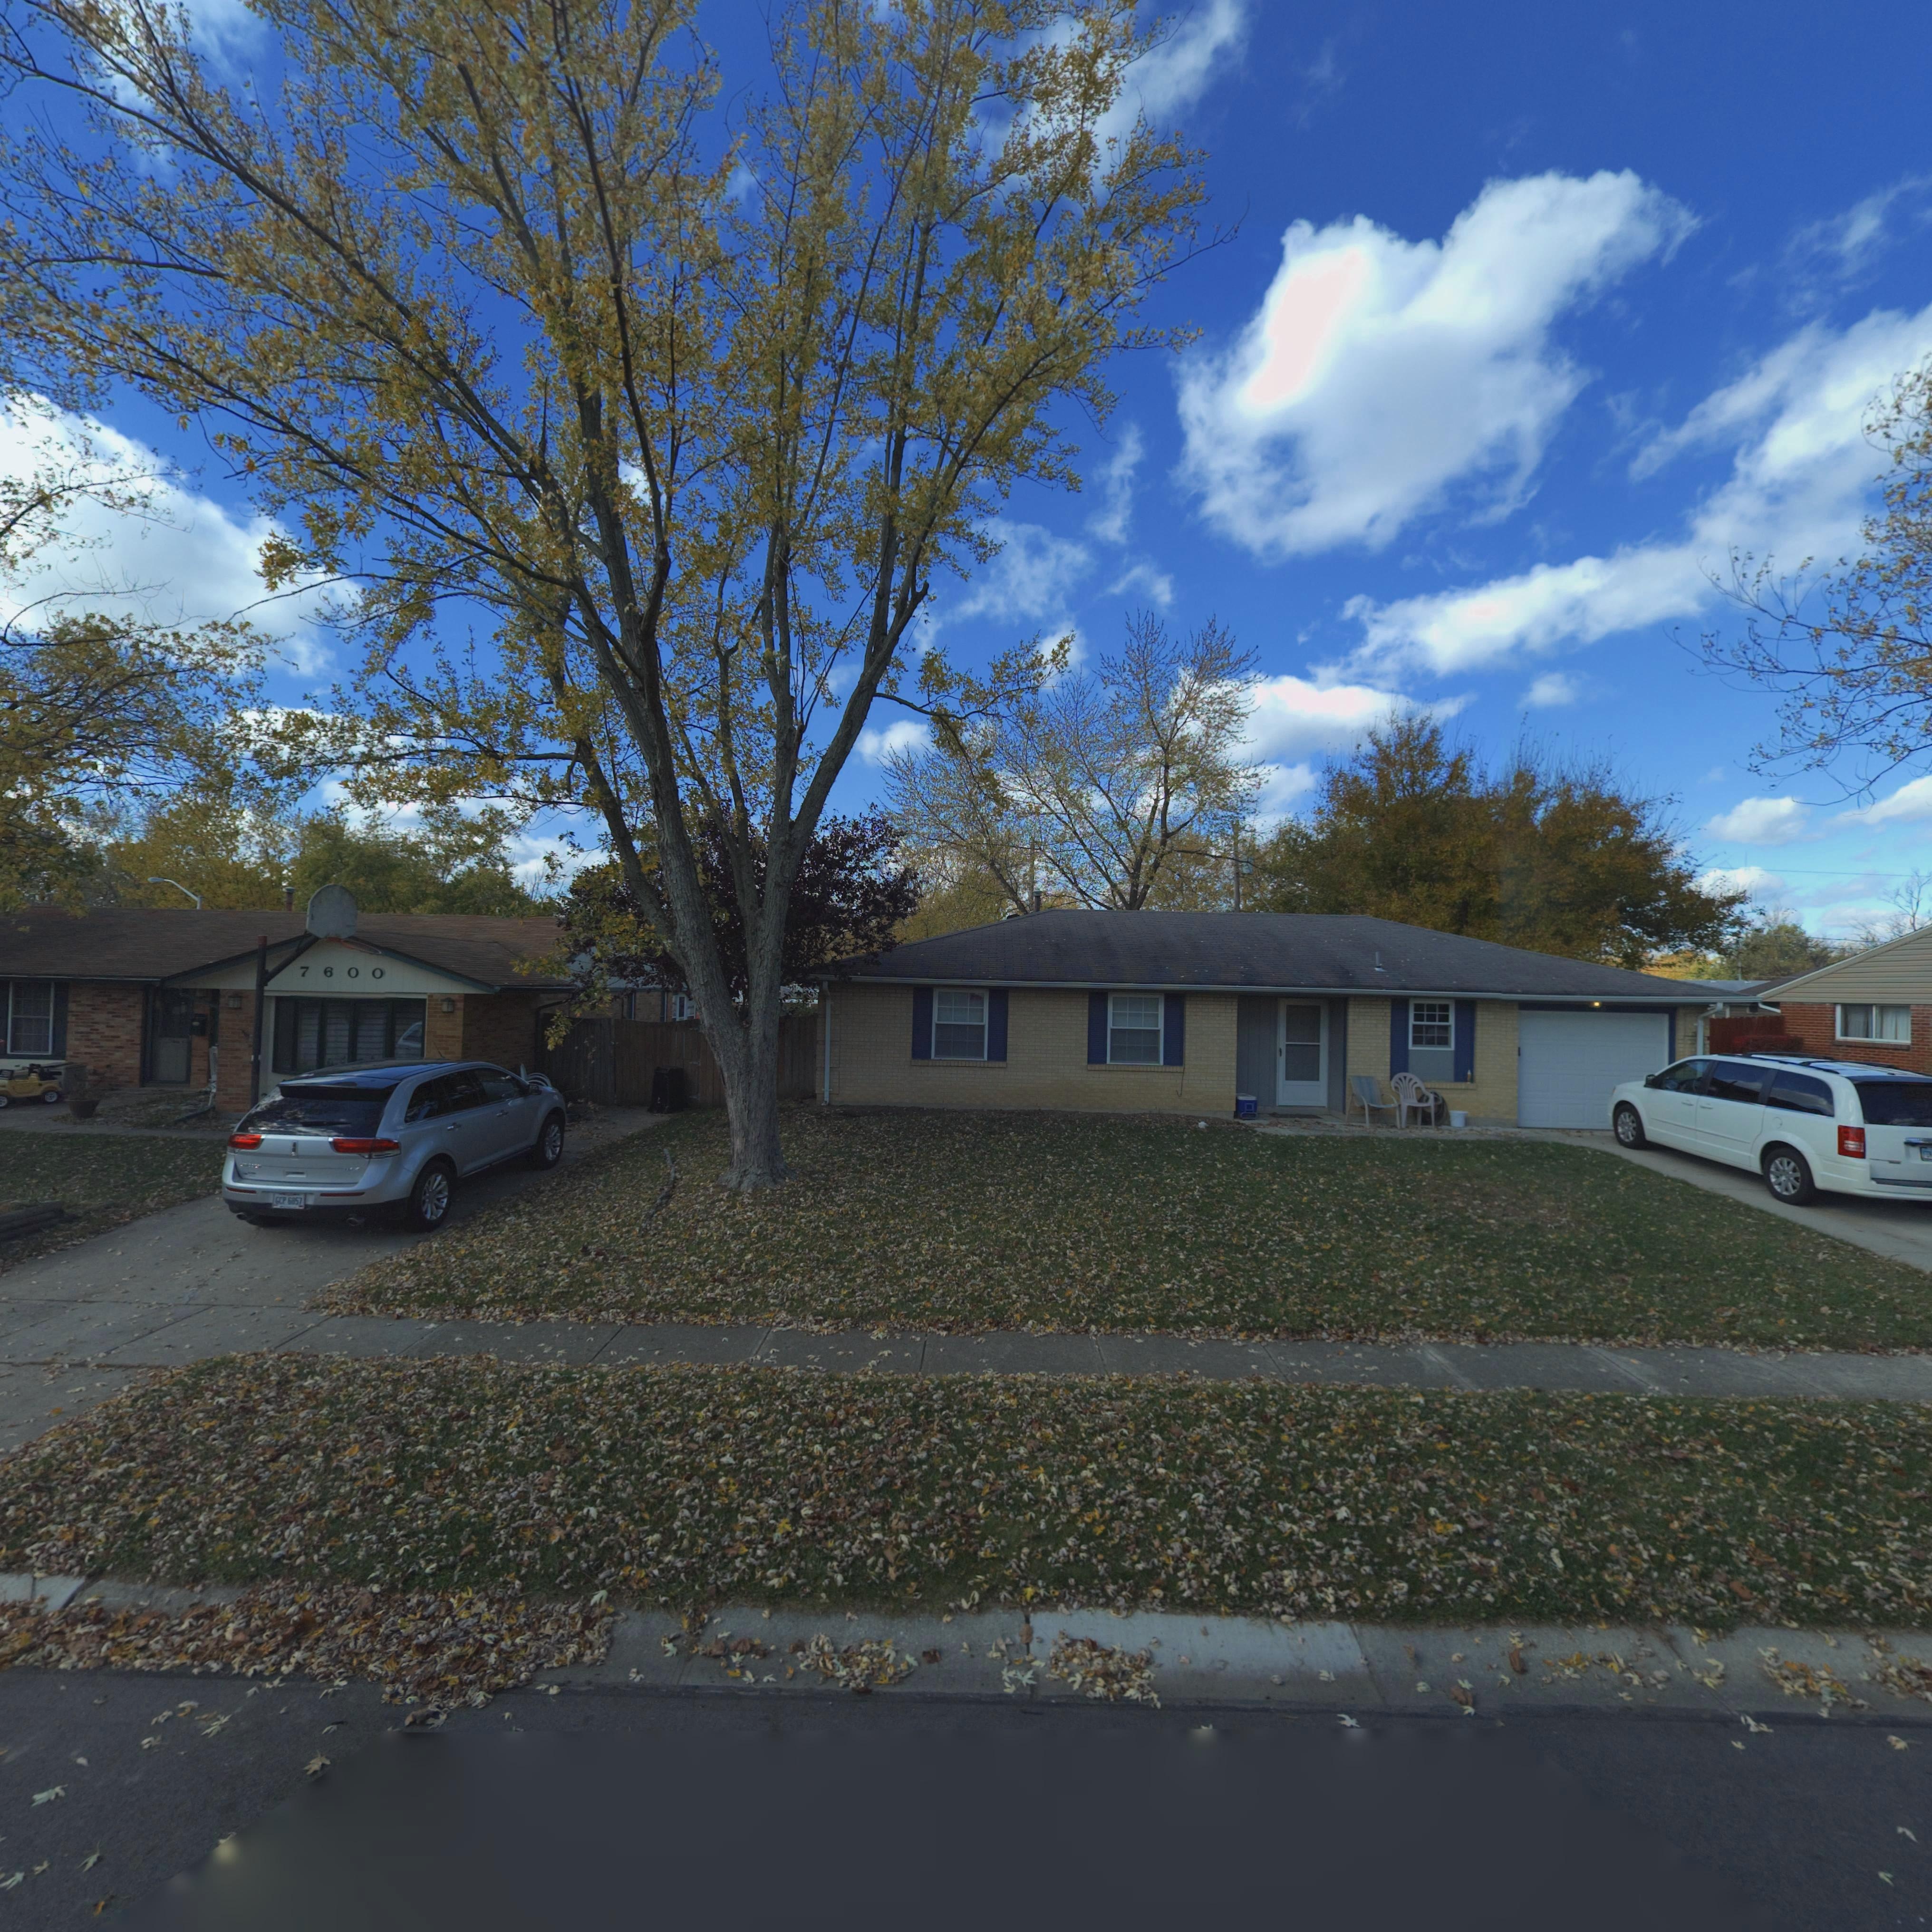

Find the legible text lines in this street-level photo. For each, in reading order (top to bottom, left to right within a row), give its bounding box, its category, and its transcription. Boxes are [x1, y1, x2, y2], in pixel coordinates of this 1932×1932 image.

[299, 965, 384, 980] StreetNumber: 7600